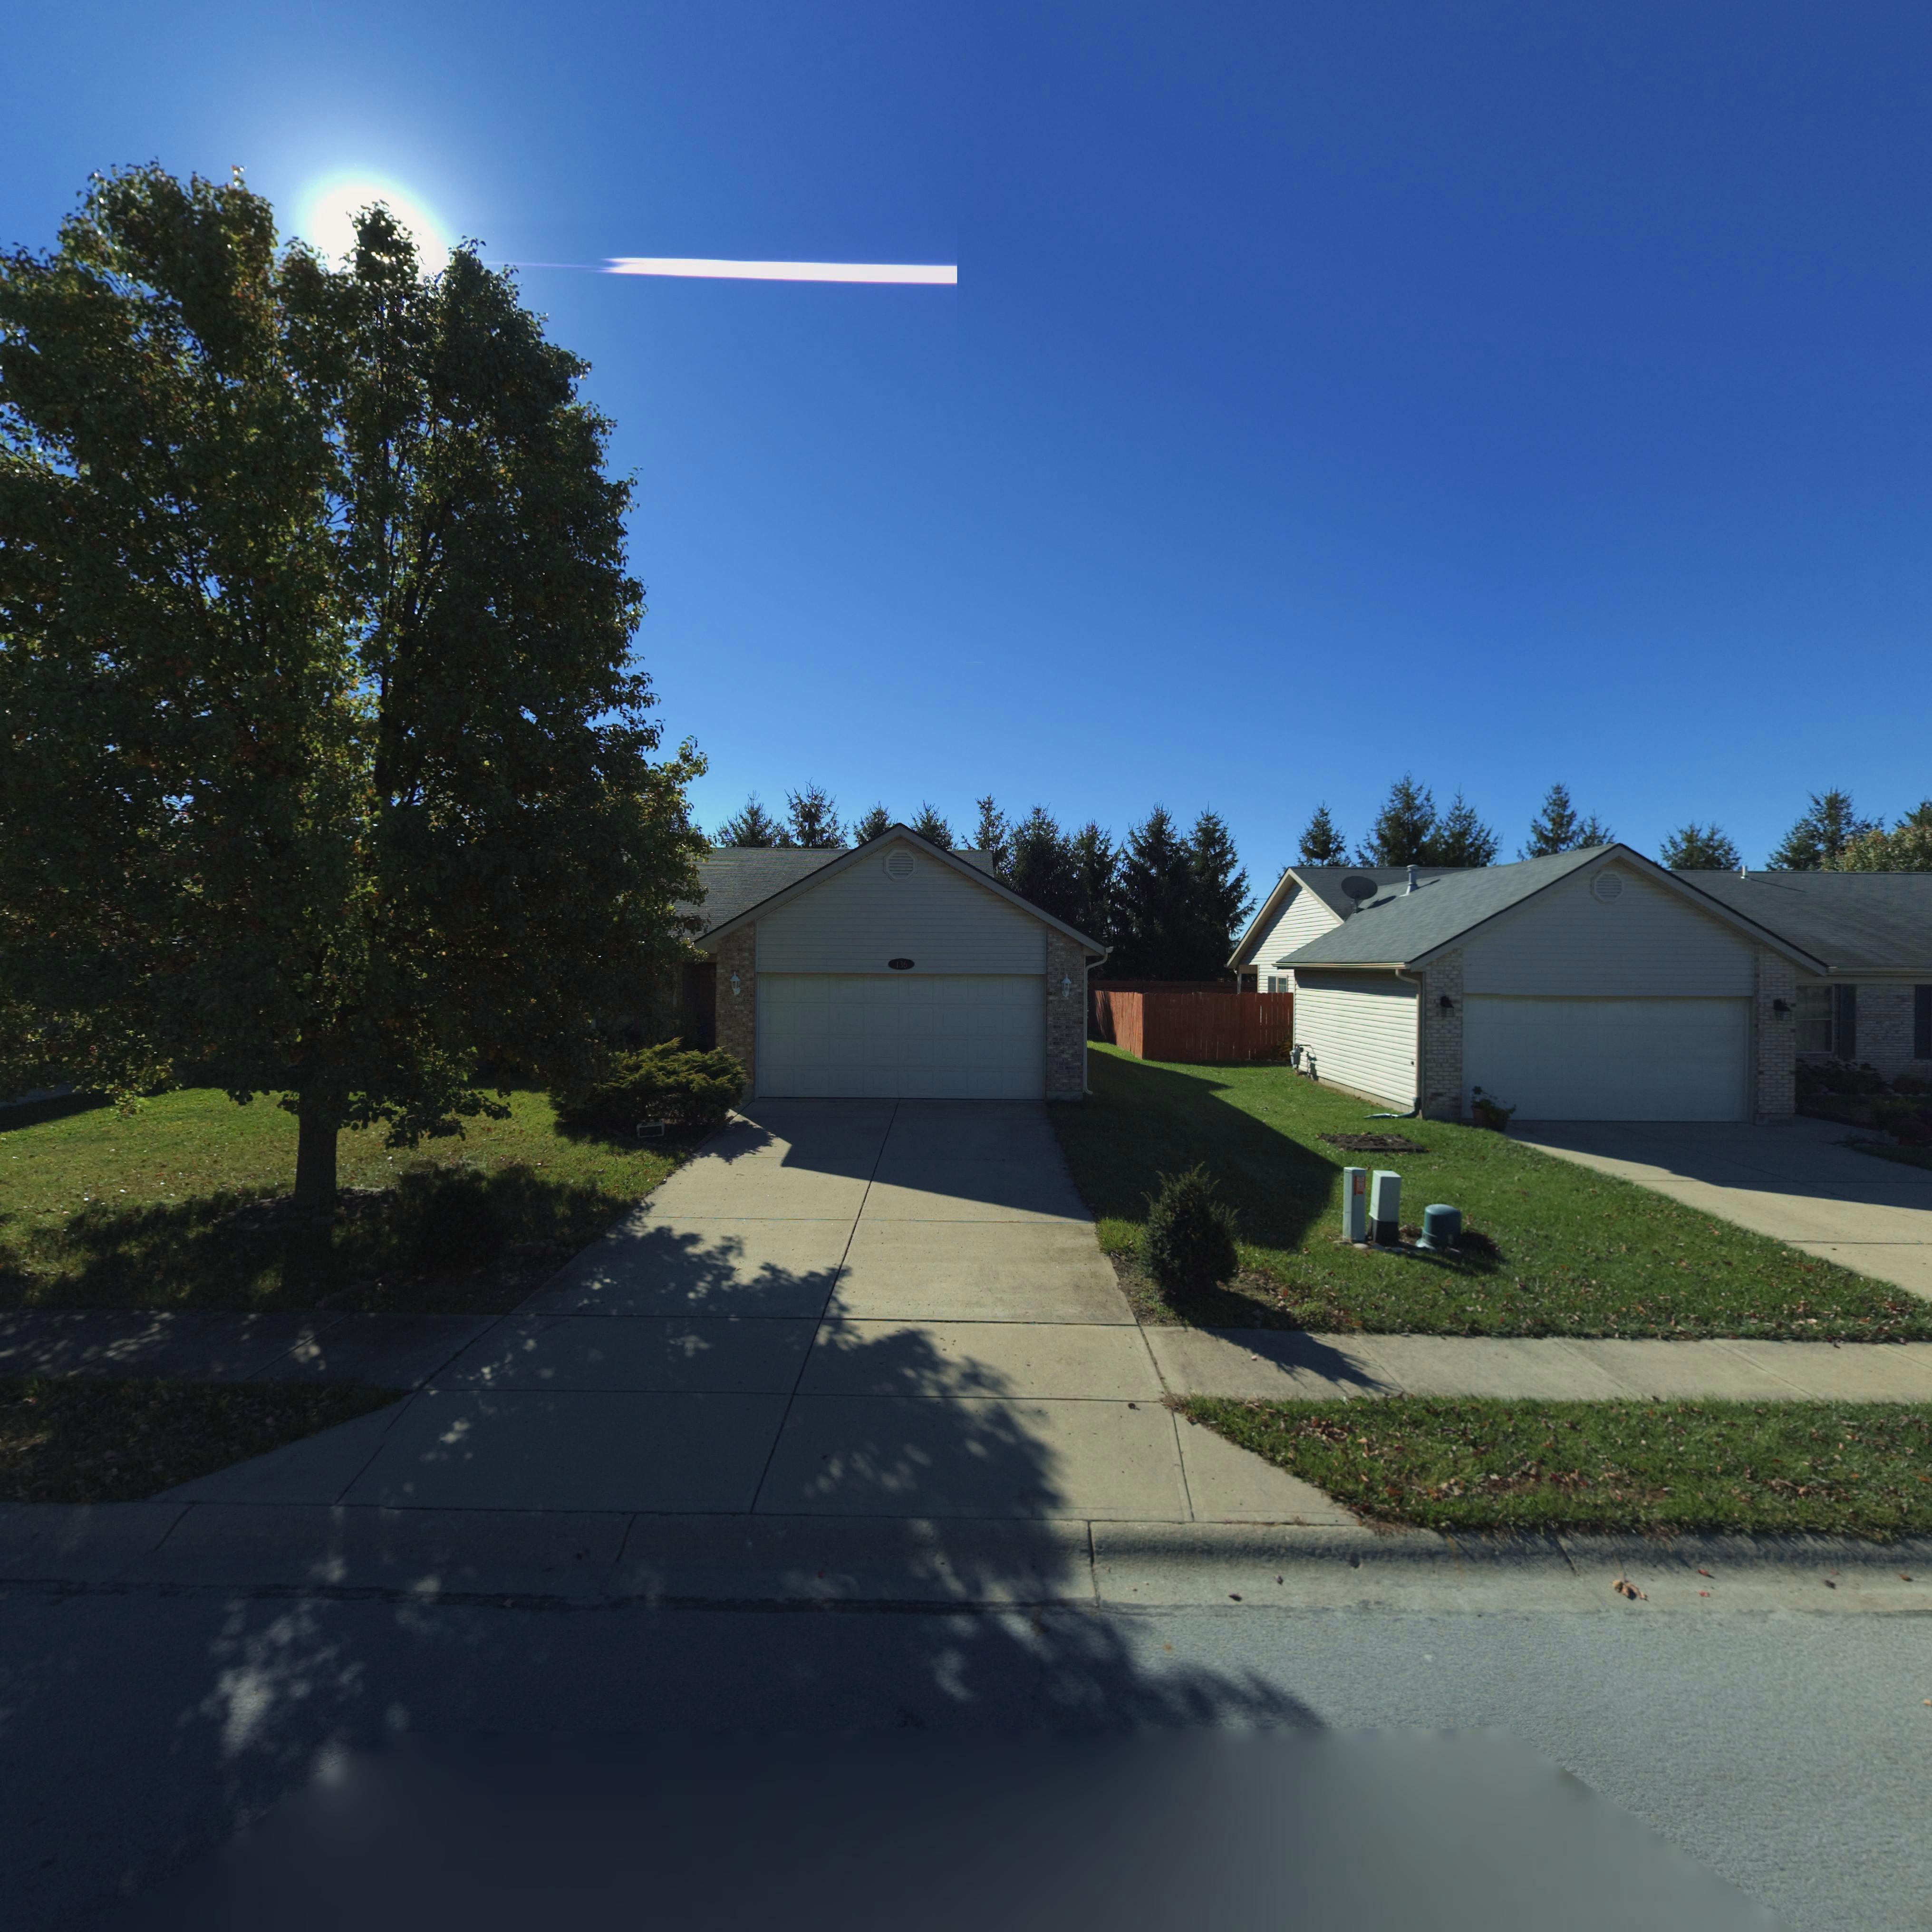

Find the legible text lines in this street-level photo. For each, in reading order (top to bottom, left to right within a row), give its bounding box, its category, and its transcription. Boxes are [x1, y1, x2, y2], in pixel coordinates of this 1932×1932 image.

[896, 960, 908, 969] StreetNumber: 136